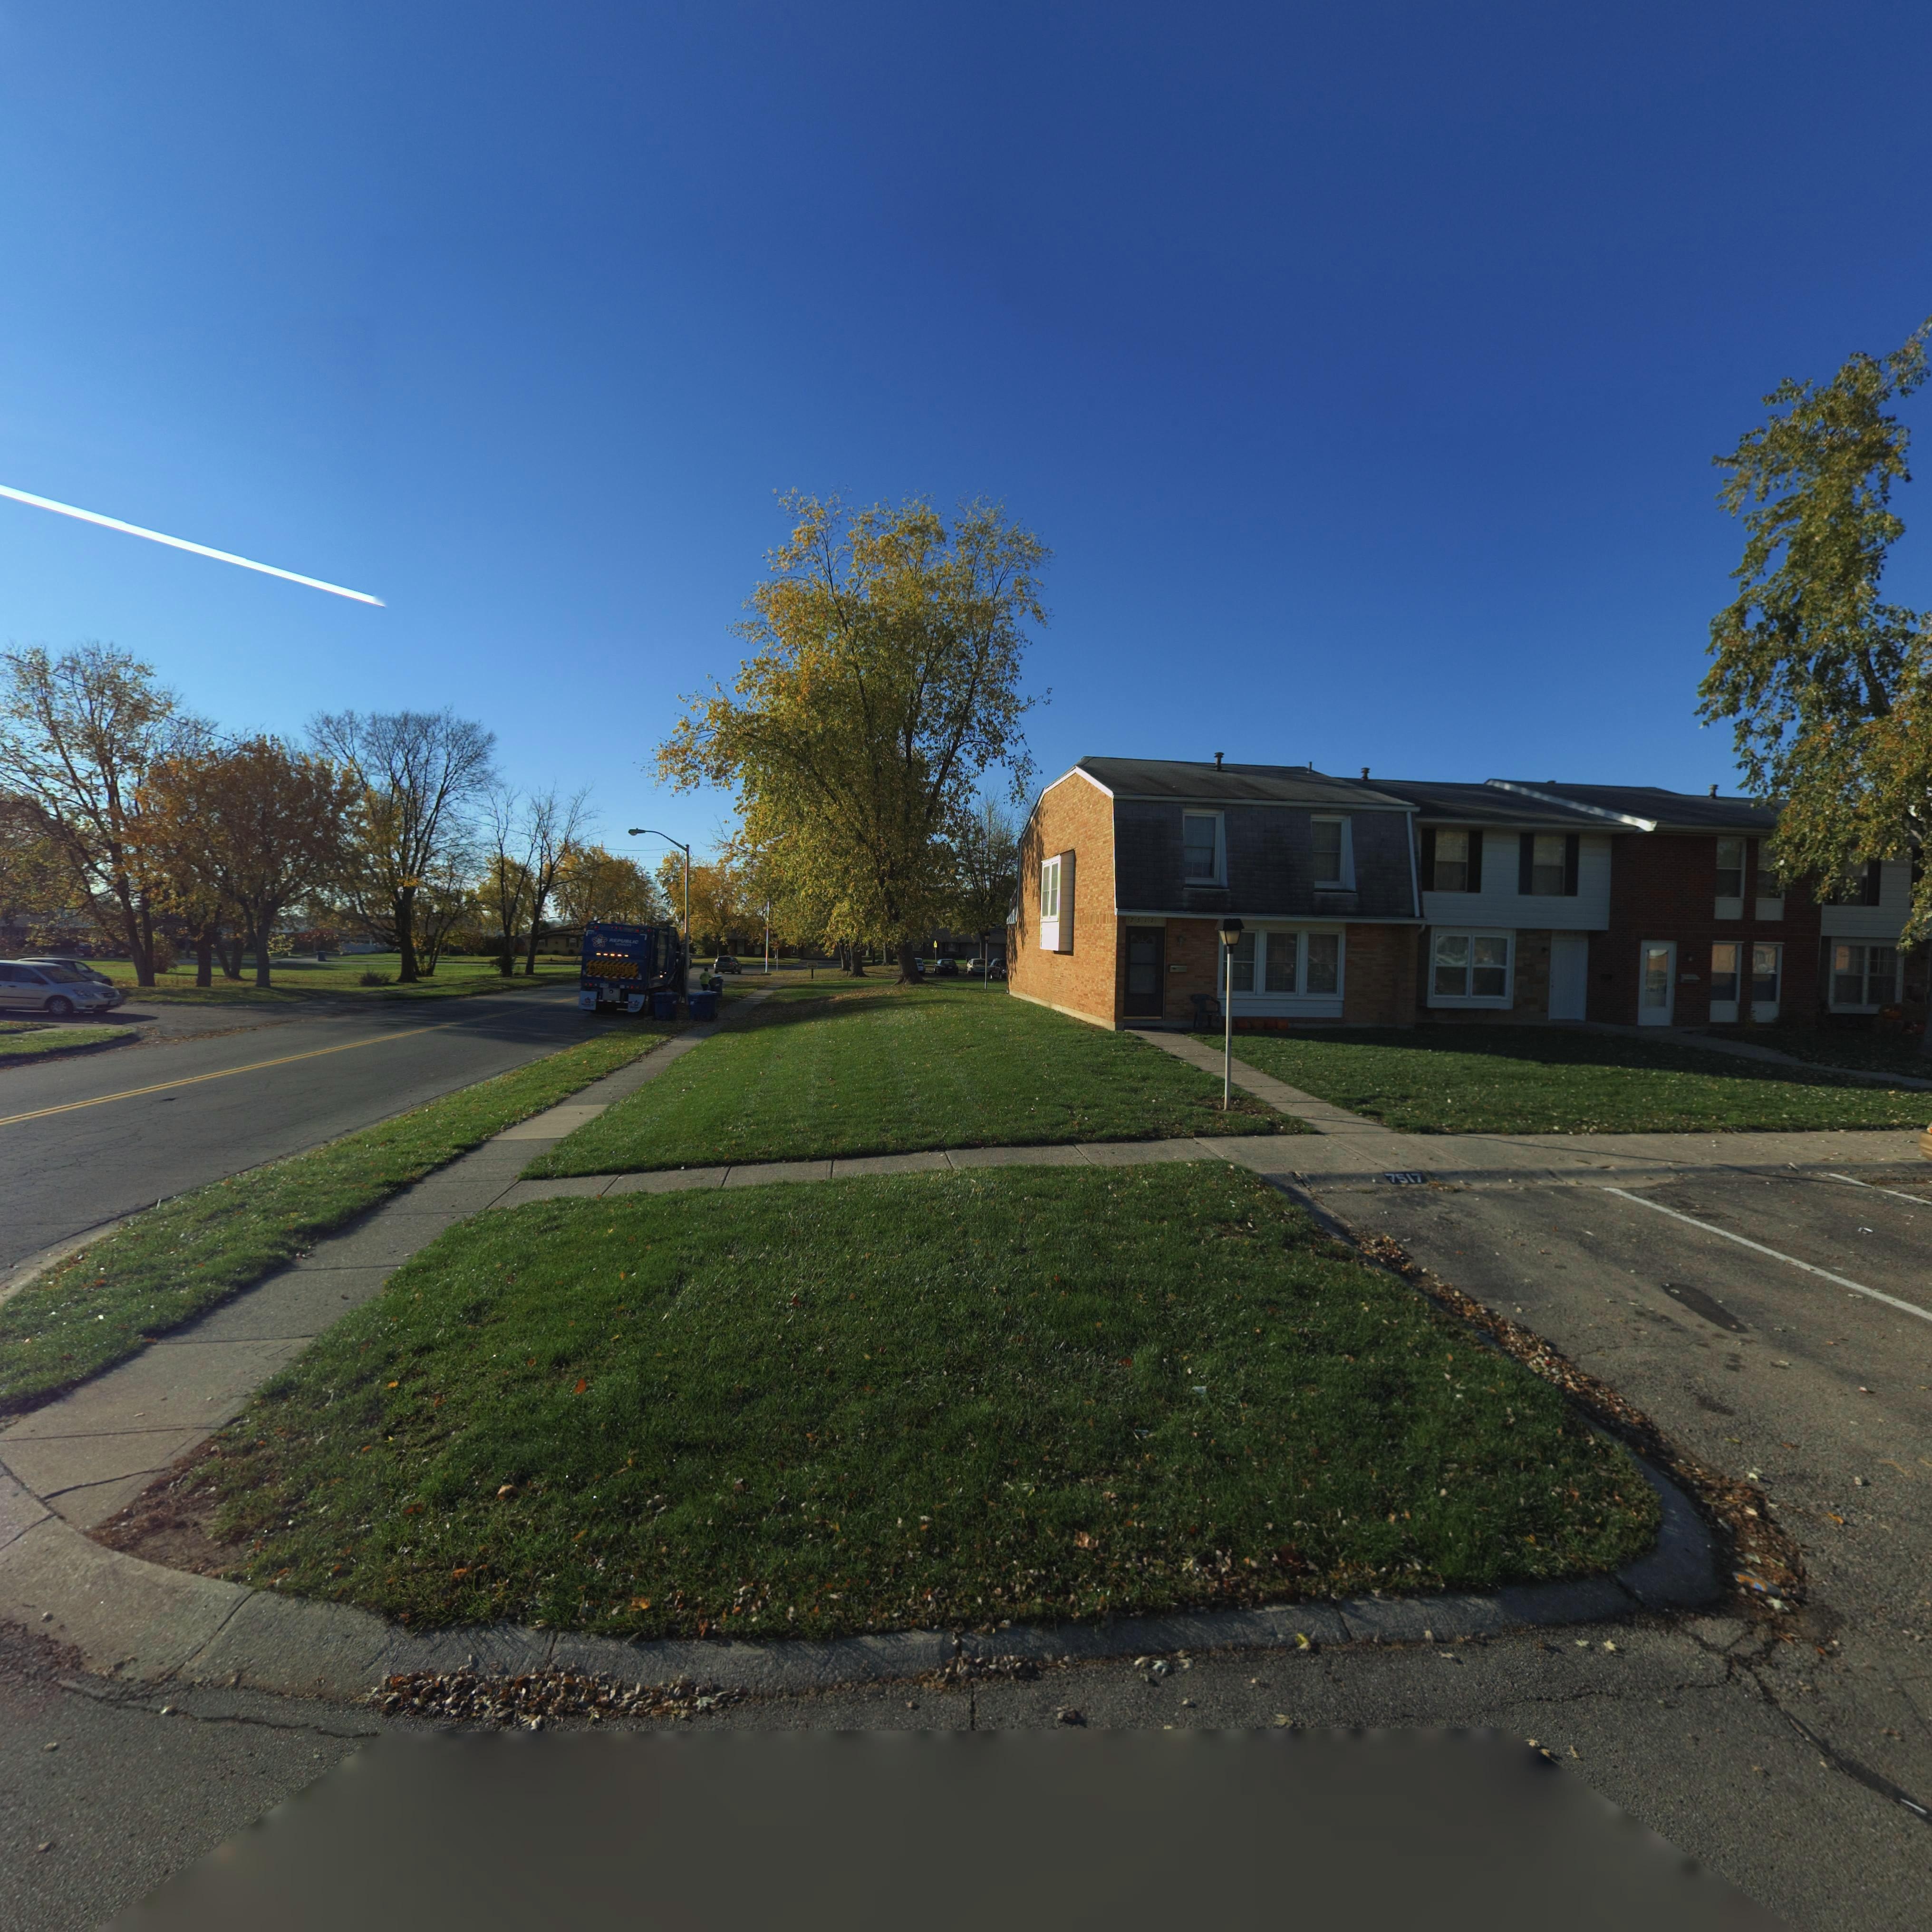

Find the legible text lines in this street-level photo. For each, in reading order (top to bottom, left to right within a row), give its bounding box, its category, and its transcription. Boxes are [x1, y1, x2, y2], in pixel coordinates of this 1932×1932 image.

[1130, 917, 1155, 924] StreetNumber: 7517
[607, 936, 641, 946] None: REPUBLIC
[594, 964, 627, 973] None: CAUTION
[1383, 1171, 1422, 1185] StreetNumber: 7517